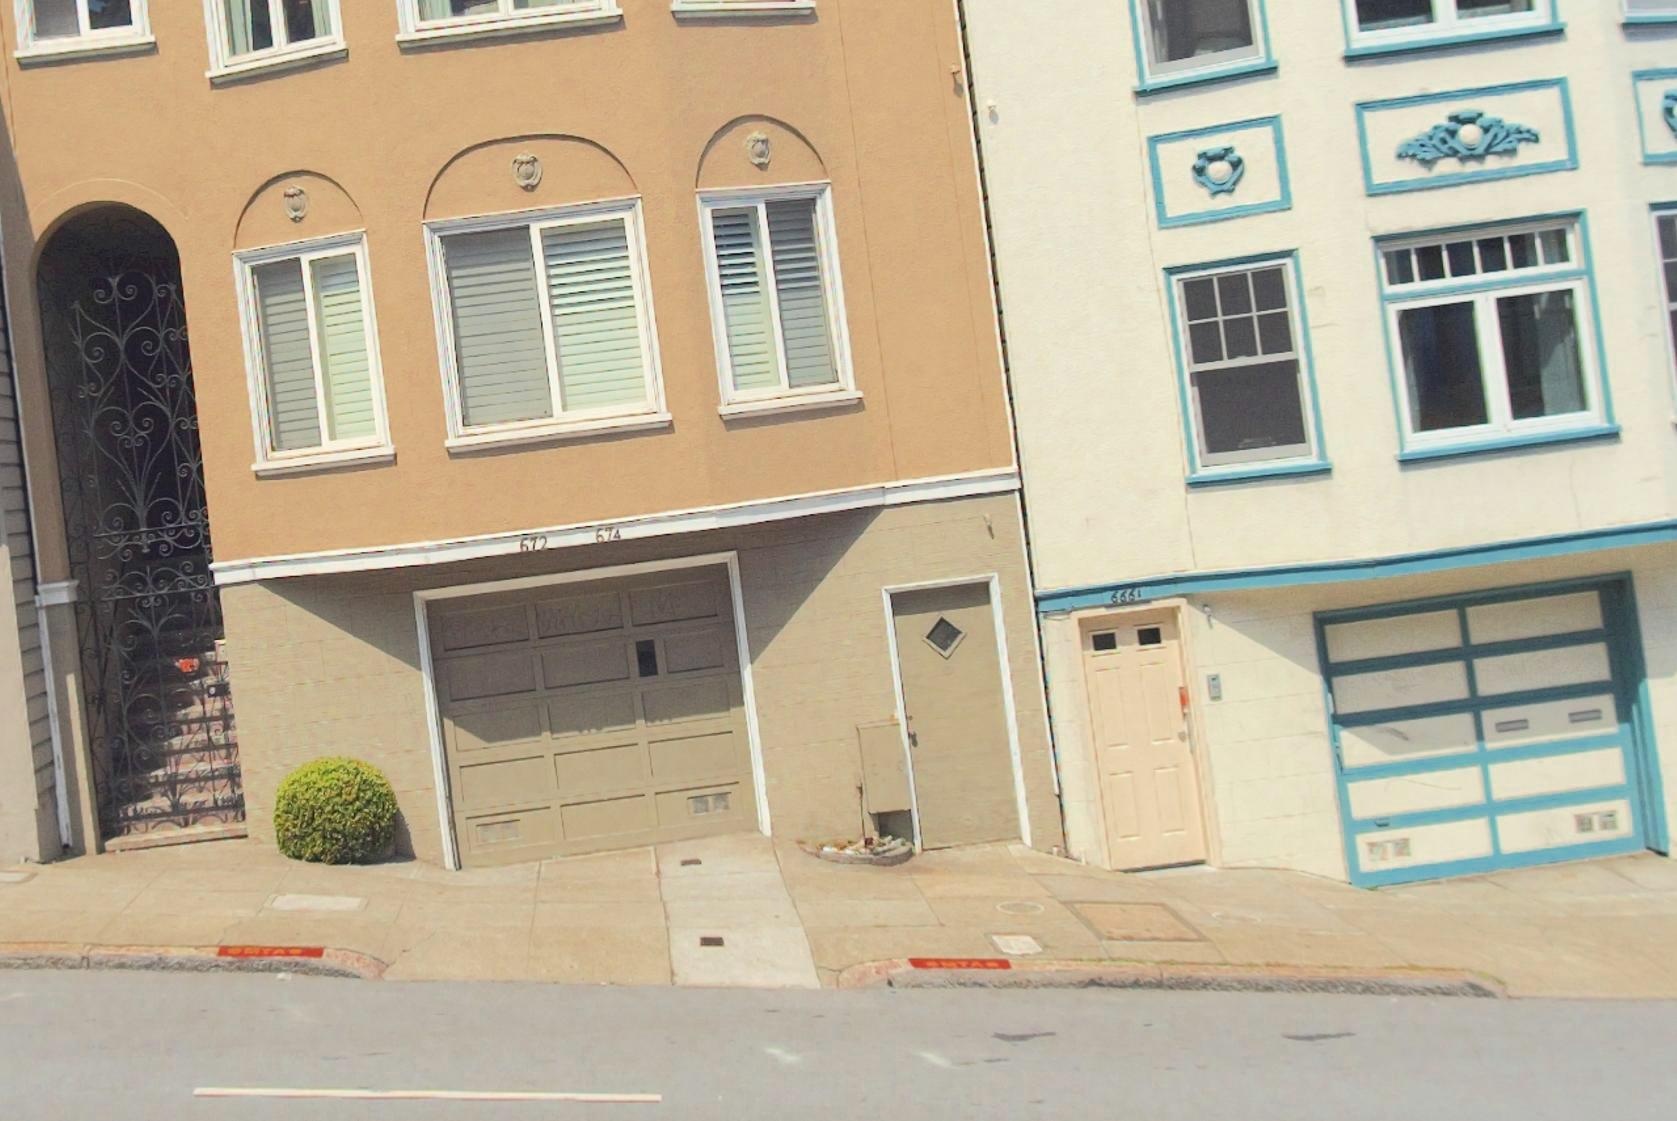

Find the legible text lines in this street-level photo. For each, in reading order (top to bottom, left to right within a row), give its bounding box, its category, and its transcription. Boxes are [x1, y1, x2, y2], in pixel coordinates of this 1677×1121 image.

[595, 526, 623, 543] StreetNumber: 674
[519, 534, 550, 553] StreetNumber: 672
[1110, 588, 1136, 604] StreetNumber: 666